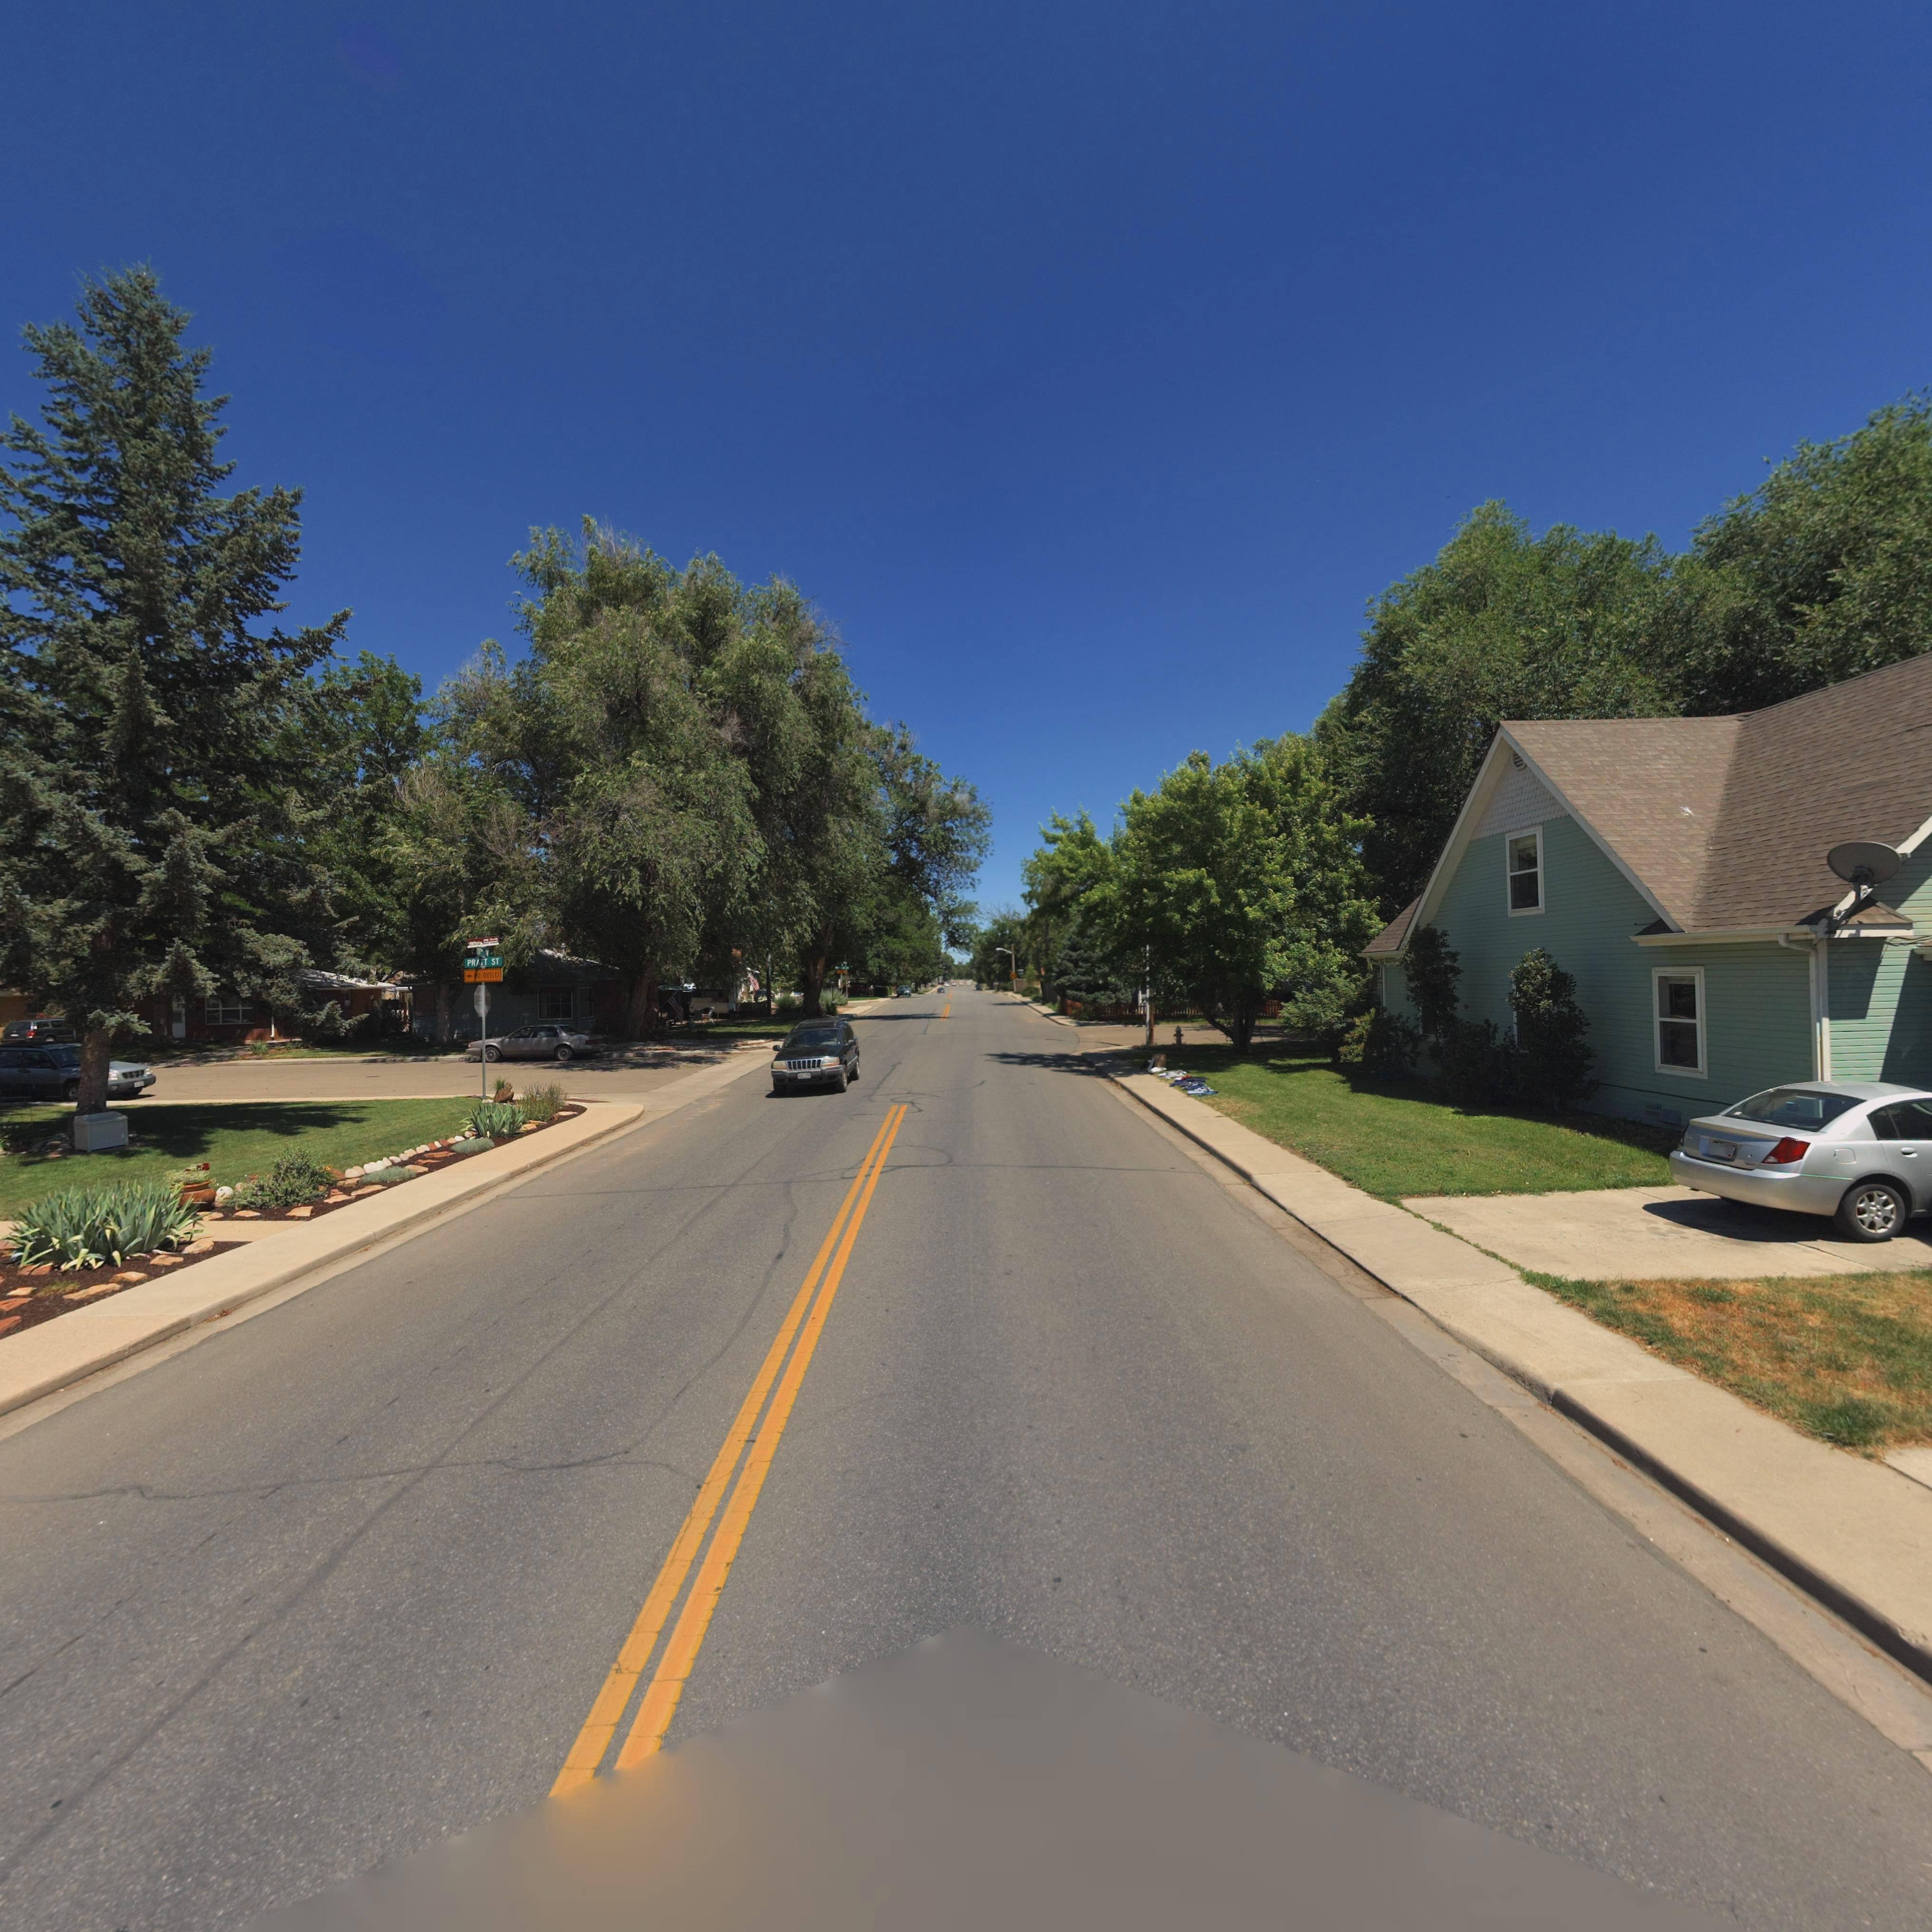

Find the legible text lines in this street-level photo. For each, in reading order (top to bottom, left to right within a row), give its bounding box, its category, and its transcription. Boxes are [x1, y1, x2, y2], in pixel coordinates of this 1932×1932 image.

[477, 947, 489, 957] StreetName: 11** *V
[466, 957, 500, 966] StreetName: PRATT ST